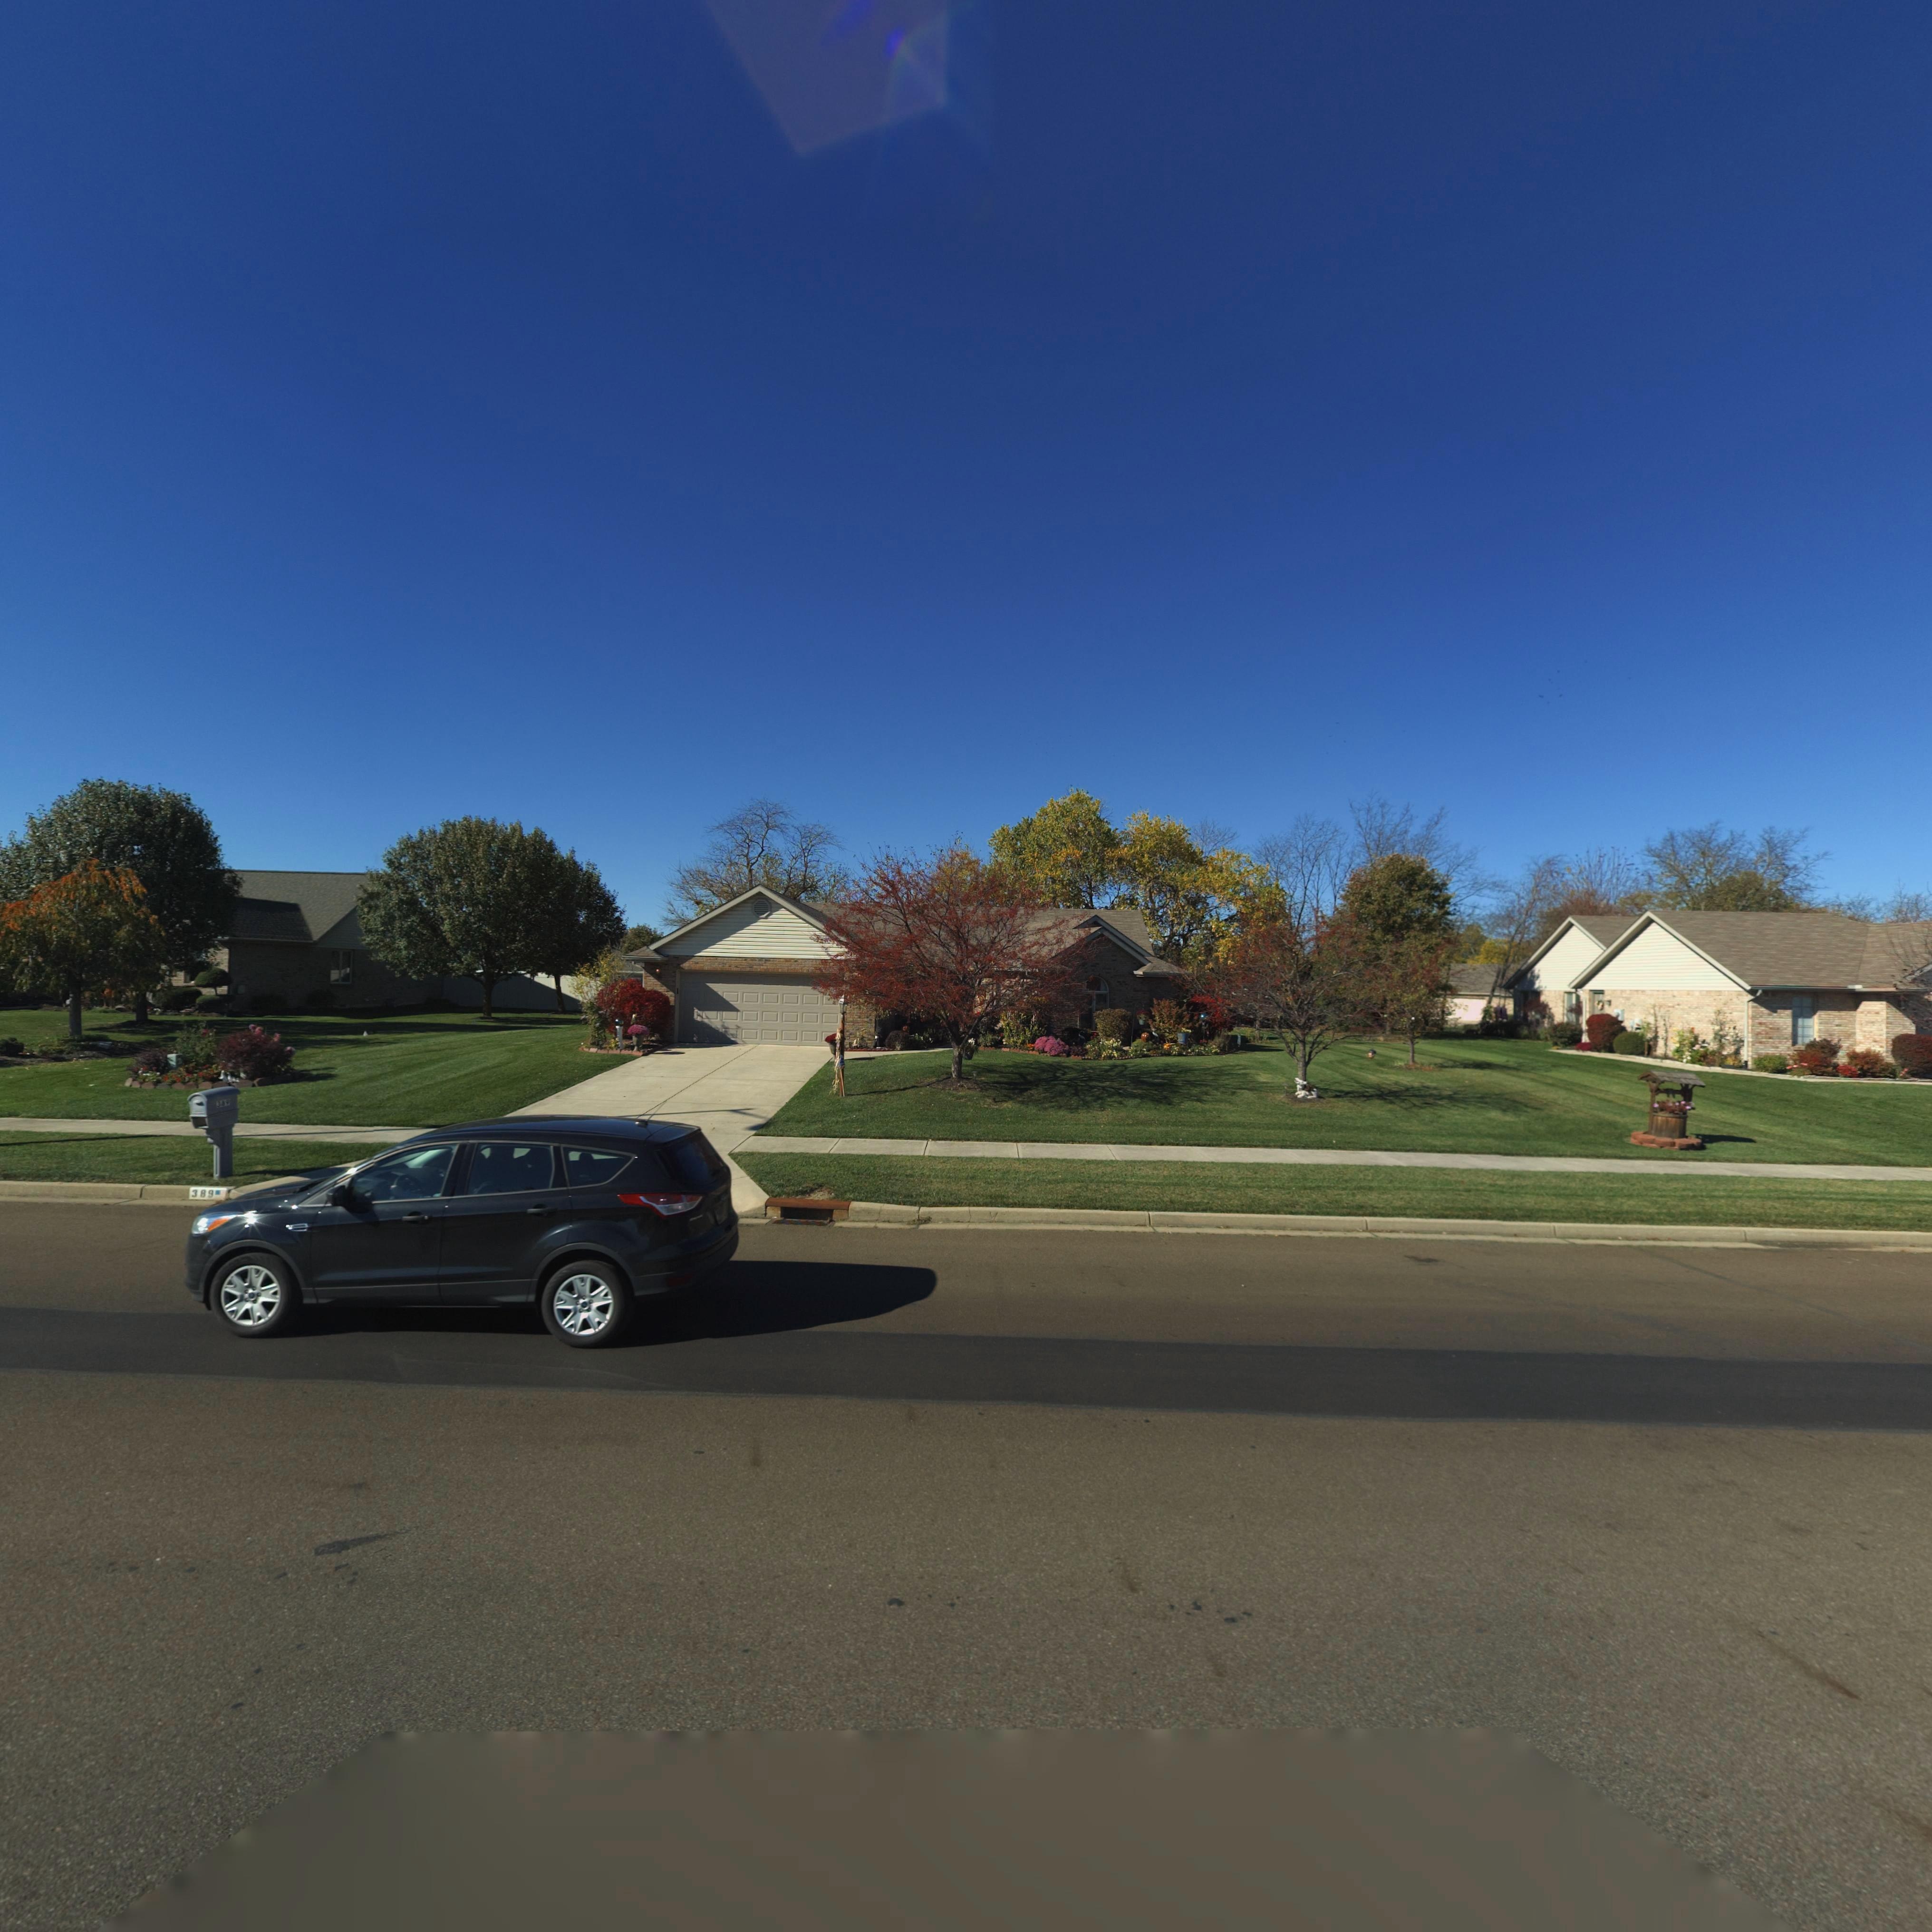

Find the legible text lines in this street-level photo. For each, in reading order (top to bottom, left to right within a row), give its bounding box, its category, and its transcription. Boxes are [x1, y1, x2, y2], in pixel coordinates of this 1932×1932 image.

[216, 1098, 231, 1108] StreetNumber: 38*
[191, 1188, 214, 1198] StreetNumber: 389